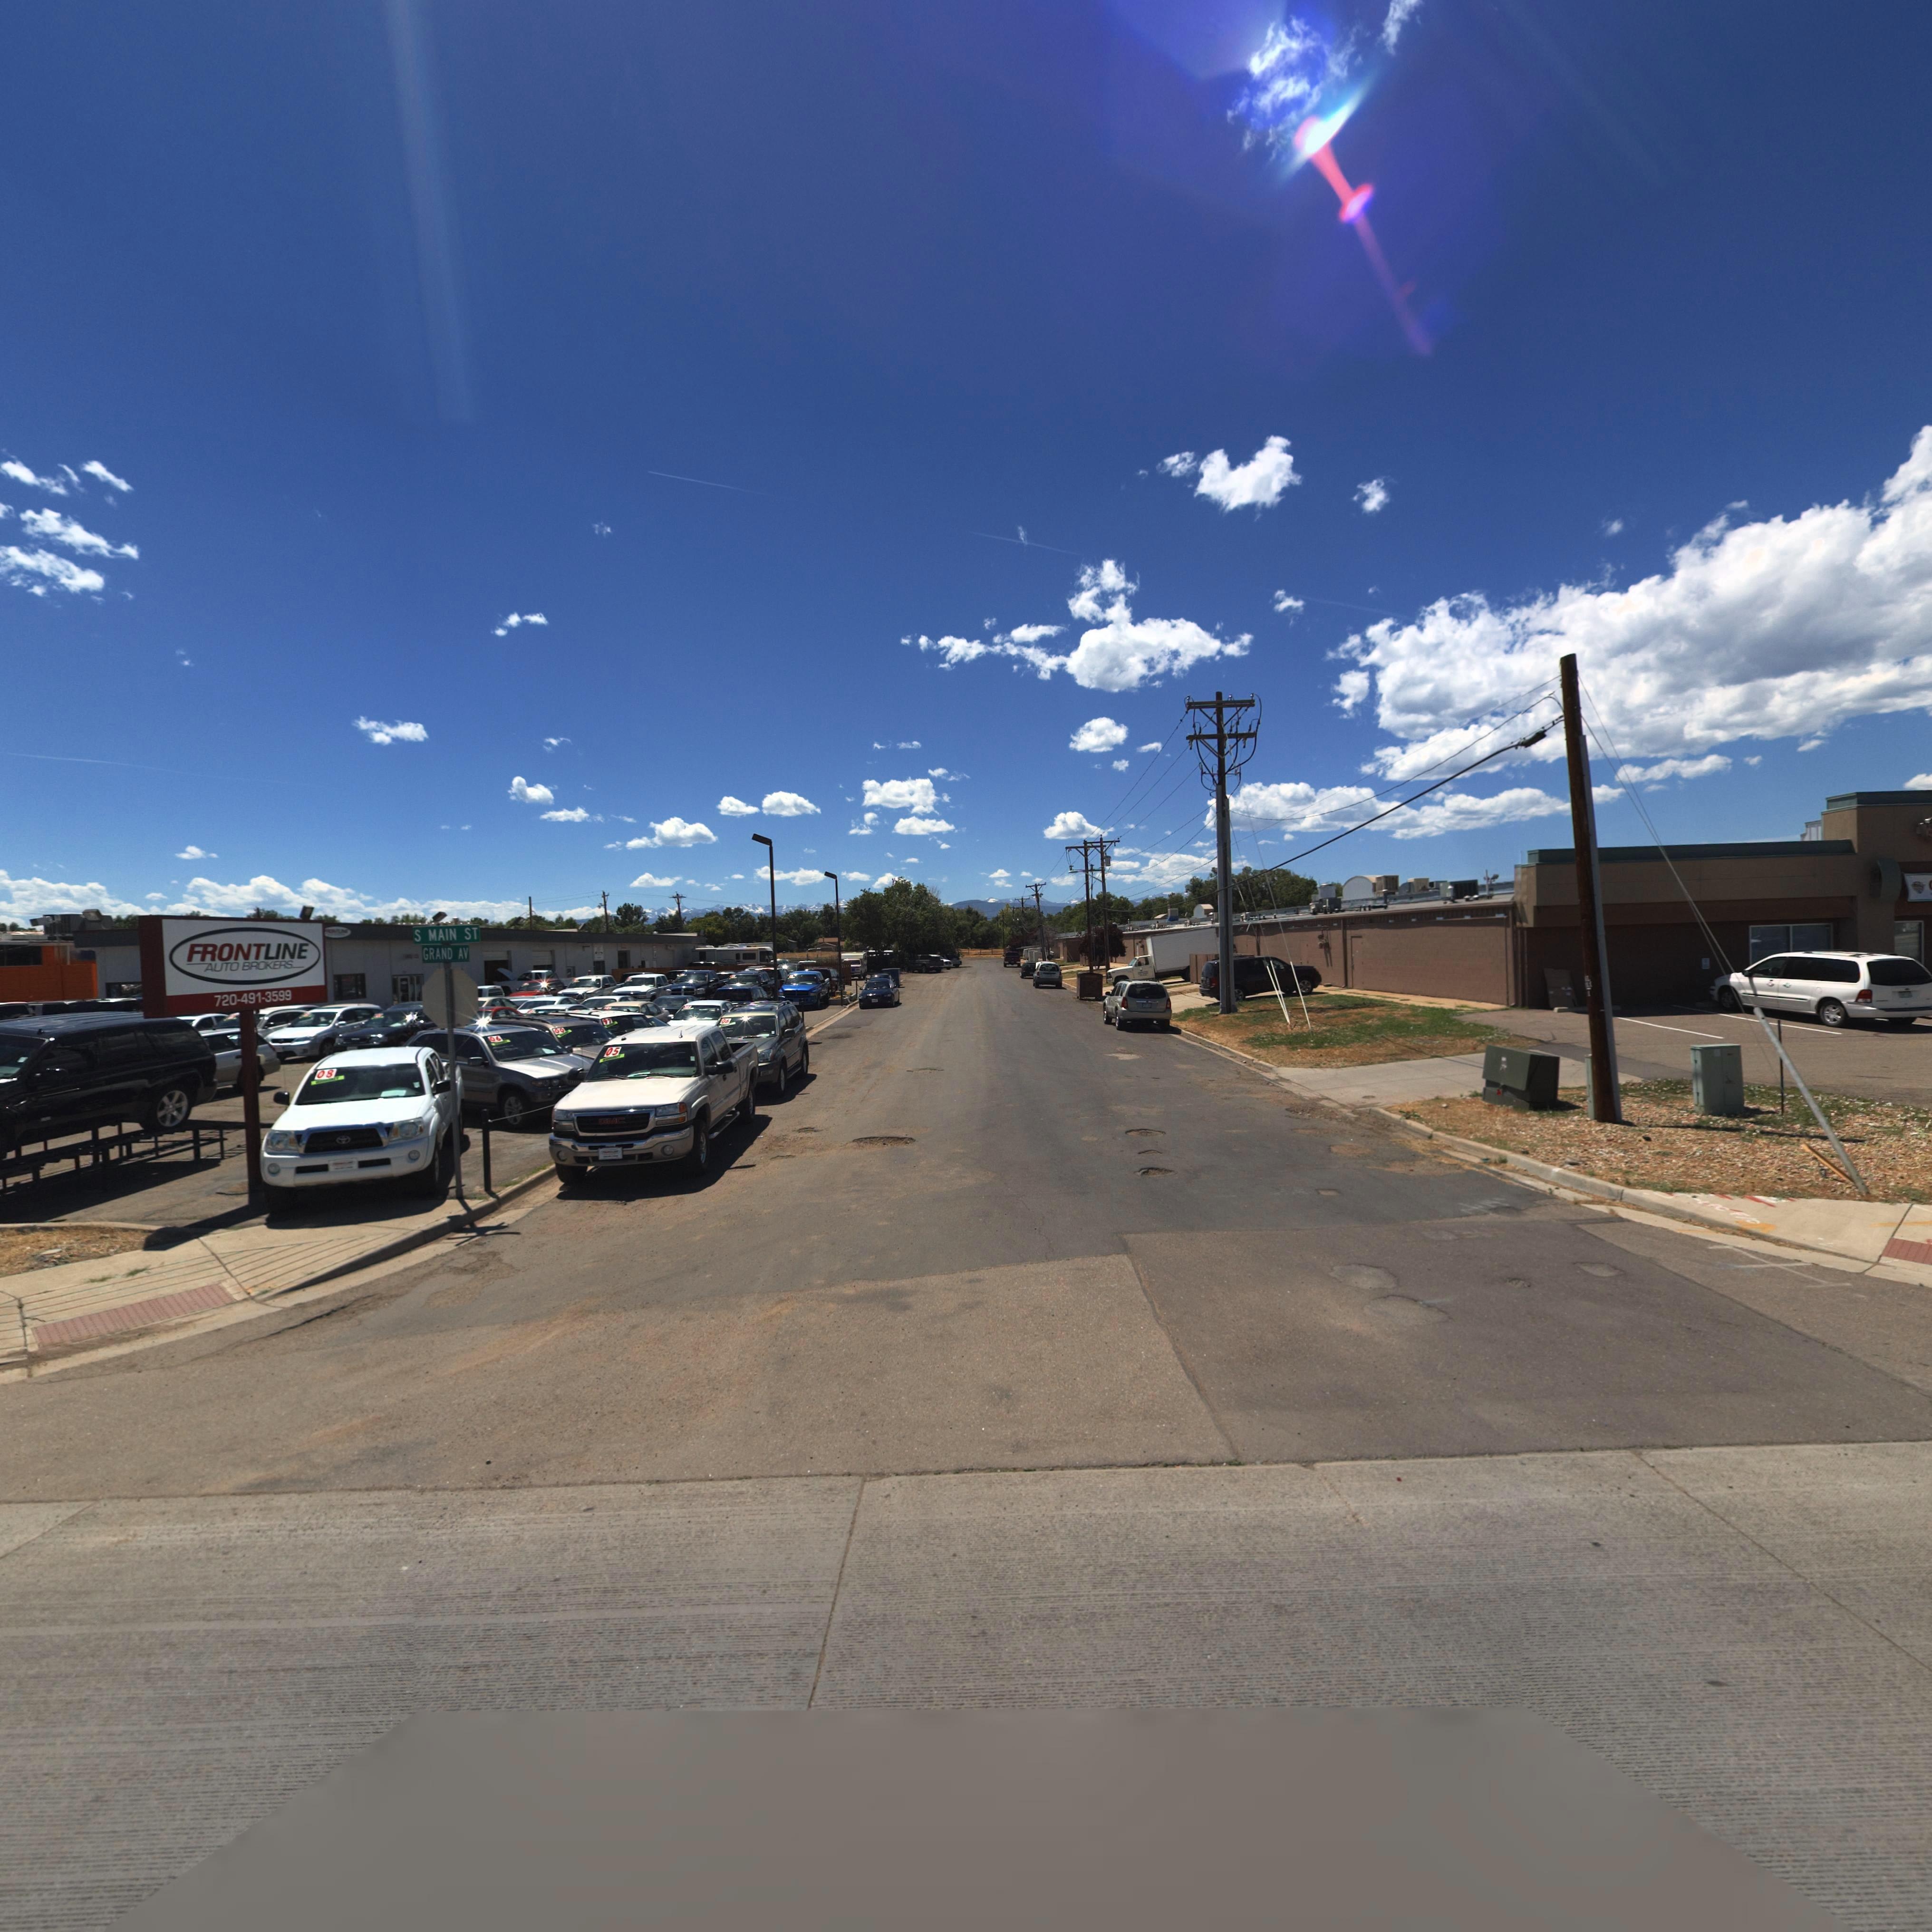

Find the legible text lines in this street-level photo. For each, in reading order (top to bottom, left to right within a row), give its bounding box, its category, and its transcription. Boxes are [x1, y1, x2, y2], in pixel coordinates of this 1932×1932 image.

[323, 928, 349, 934] BusinessName: FRONTLINE
[414, 927, 478, 942] StreetName: S MAIN ST
[186, 942, 309, 963] BusinessName: FRONTLINE
[422, 947, 469, 961] StreetName: GRAND AV
[203, 960, 294, 972] BusinessName: AUTO BROKERS